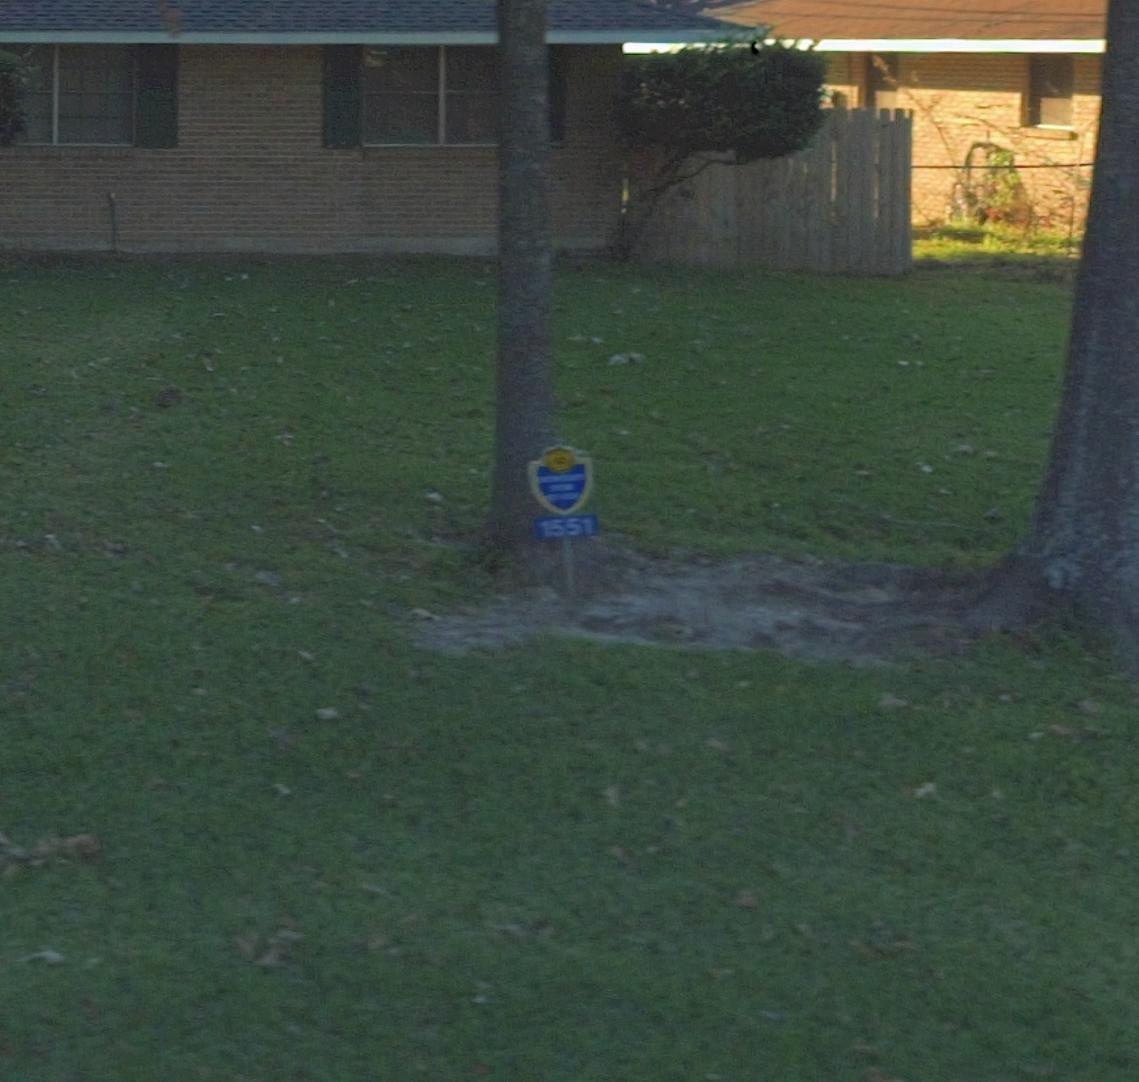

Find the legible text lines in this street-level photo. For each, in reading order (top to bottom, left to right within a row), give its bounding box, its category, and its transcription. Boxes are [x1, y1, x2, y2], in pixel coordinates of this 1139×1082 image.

[537, 516, 596, 538] StreetNumber: 1551